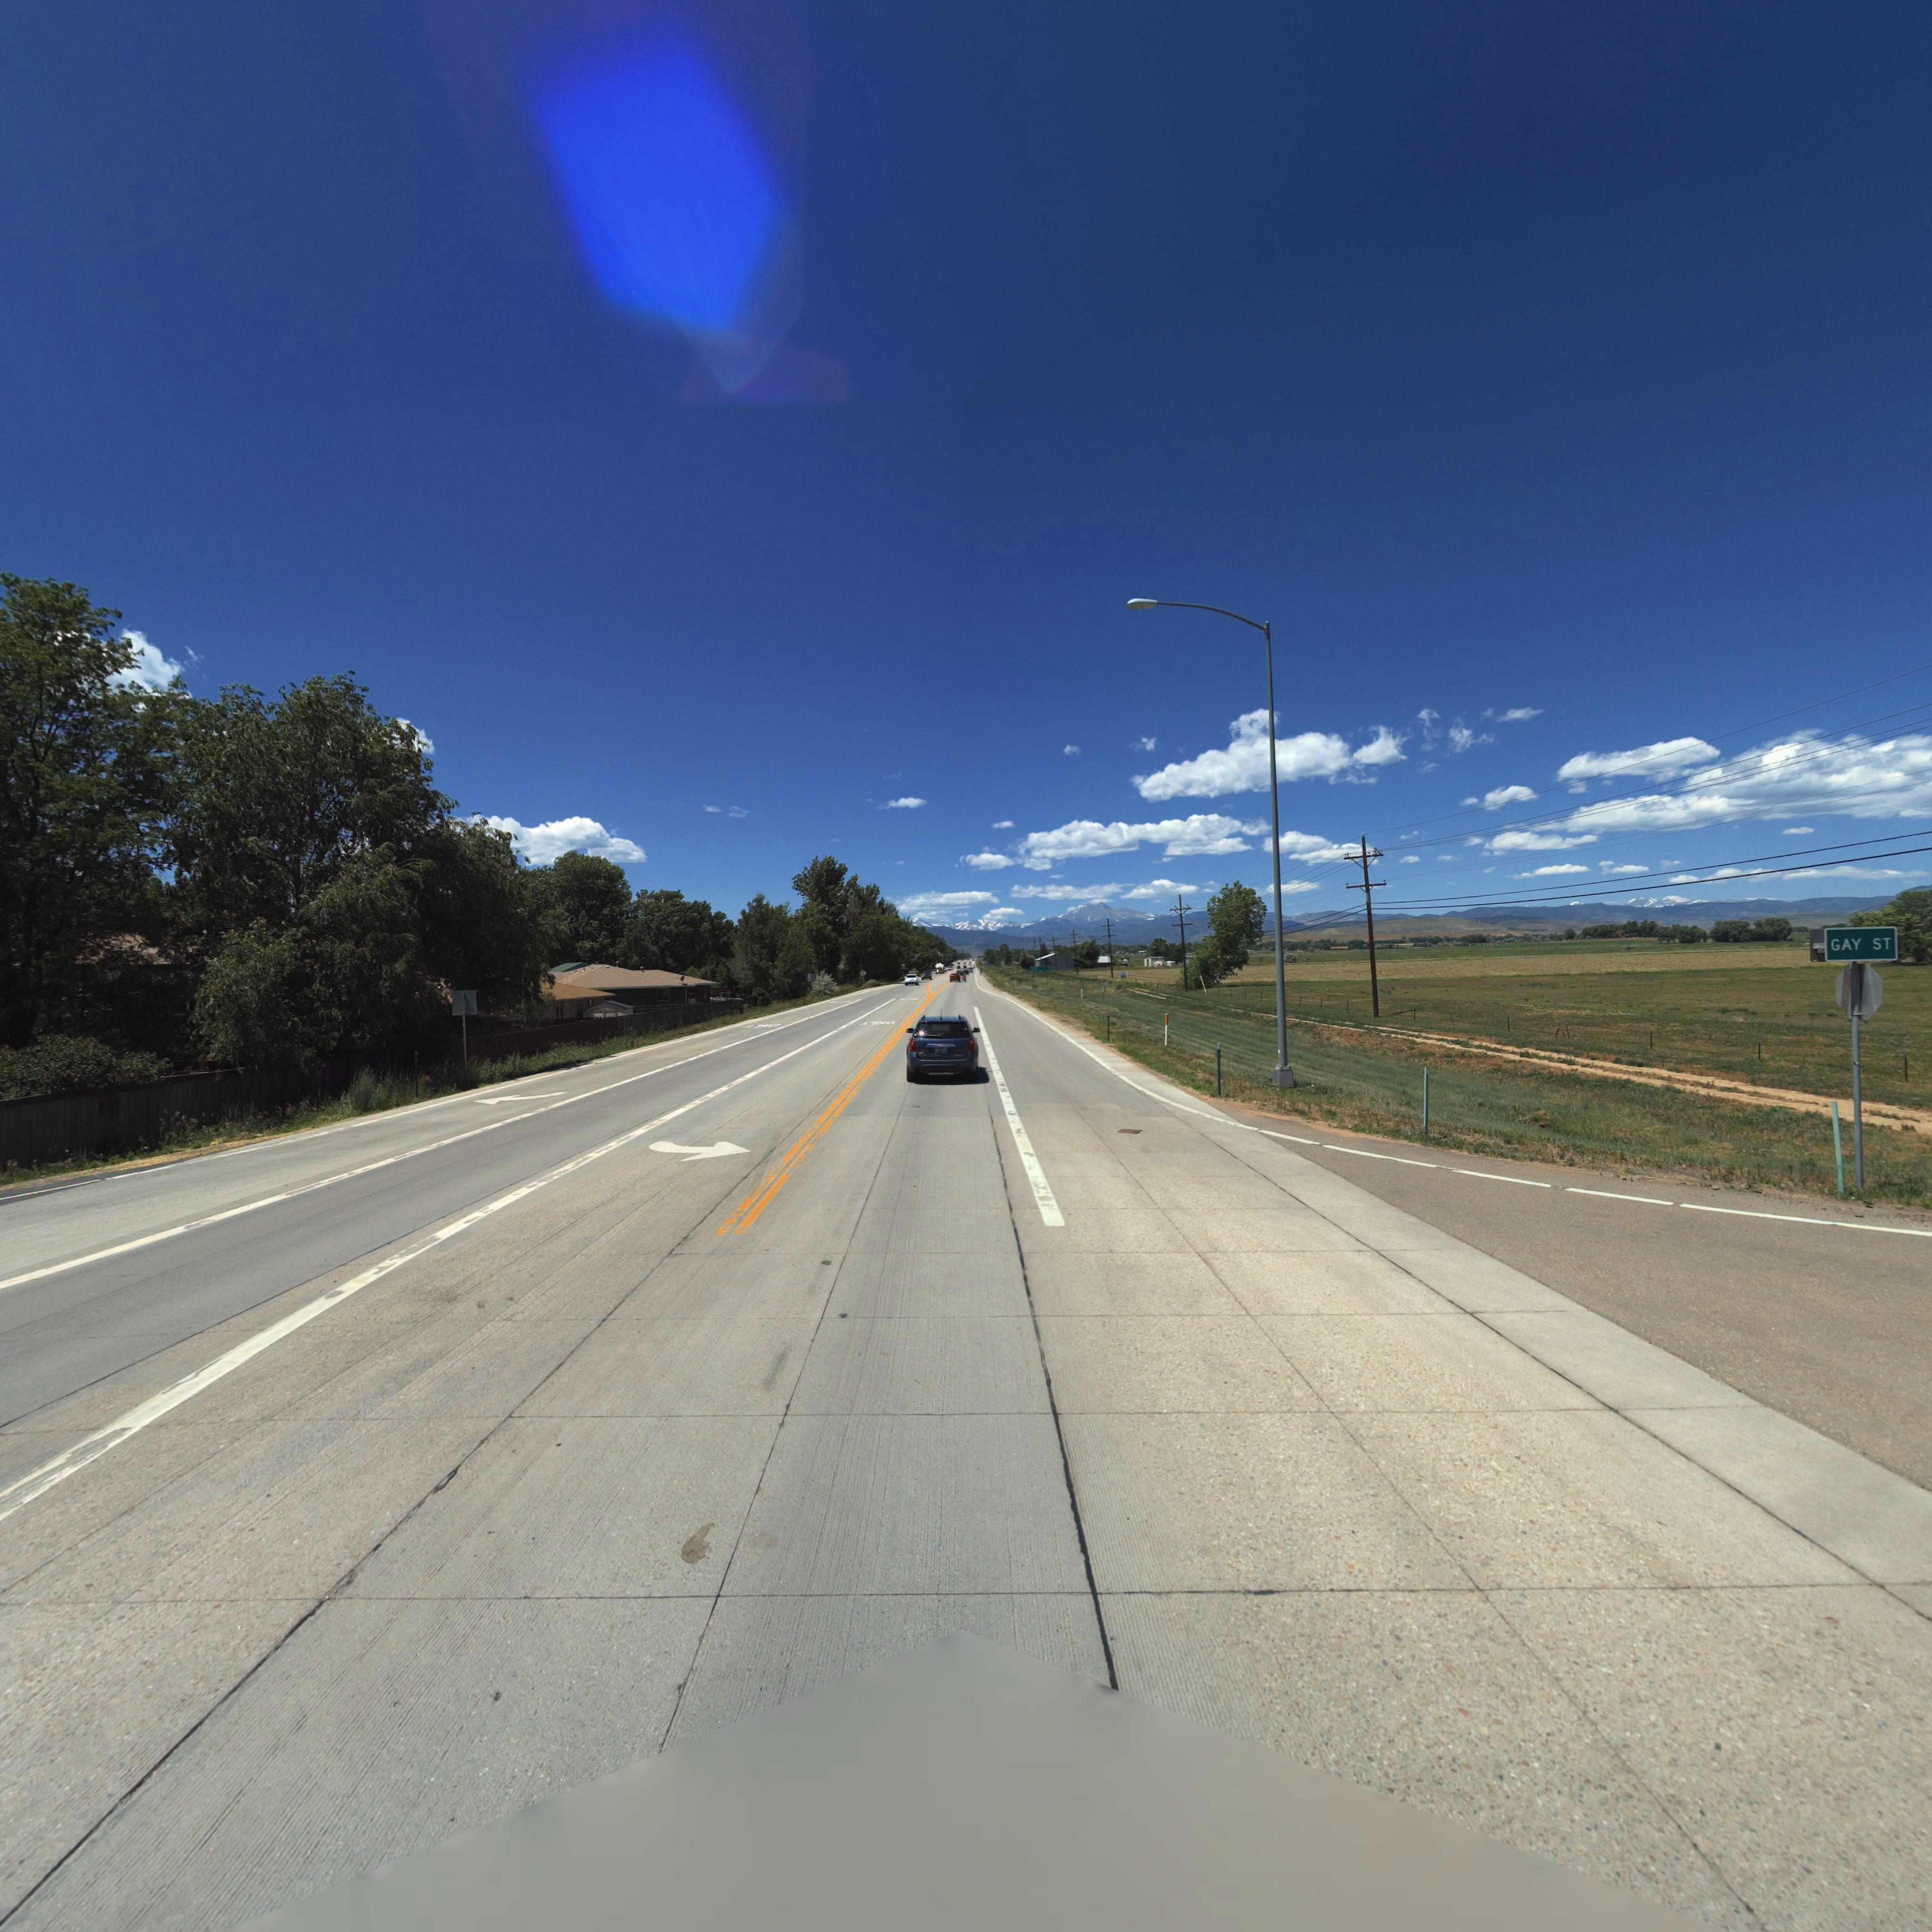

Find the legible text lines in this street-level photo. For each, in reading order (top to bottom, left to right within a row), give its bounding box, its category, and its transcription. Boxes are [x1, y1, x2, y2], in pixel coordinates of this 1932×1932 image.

[1830, 937, 1891, 951] StreetName: GAY ST